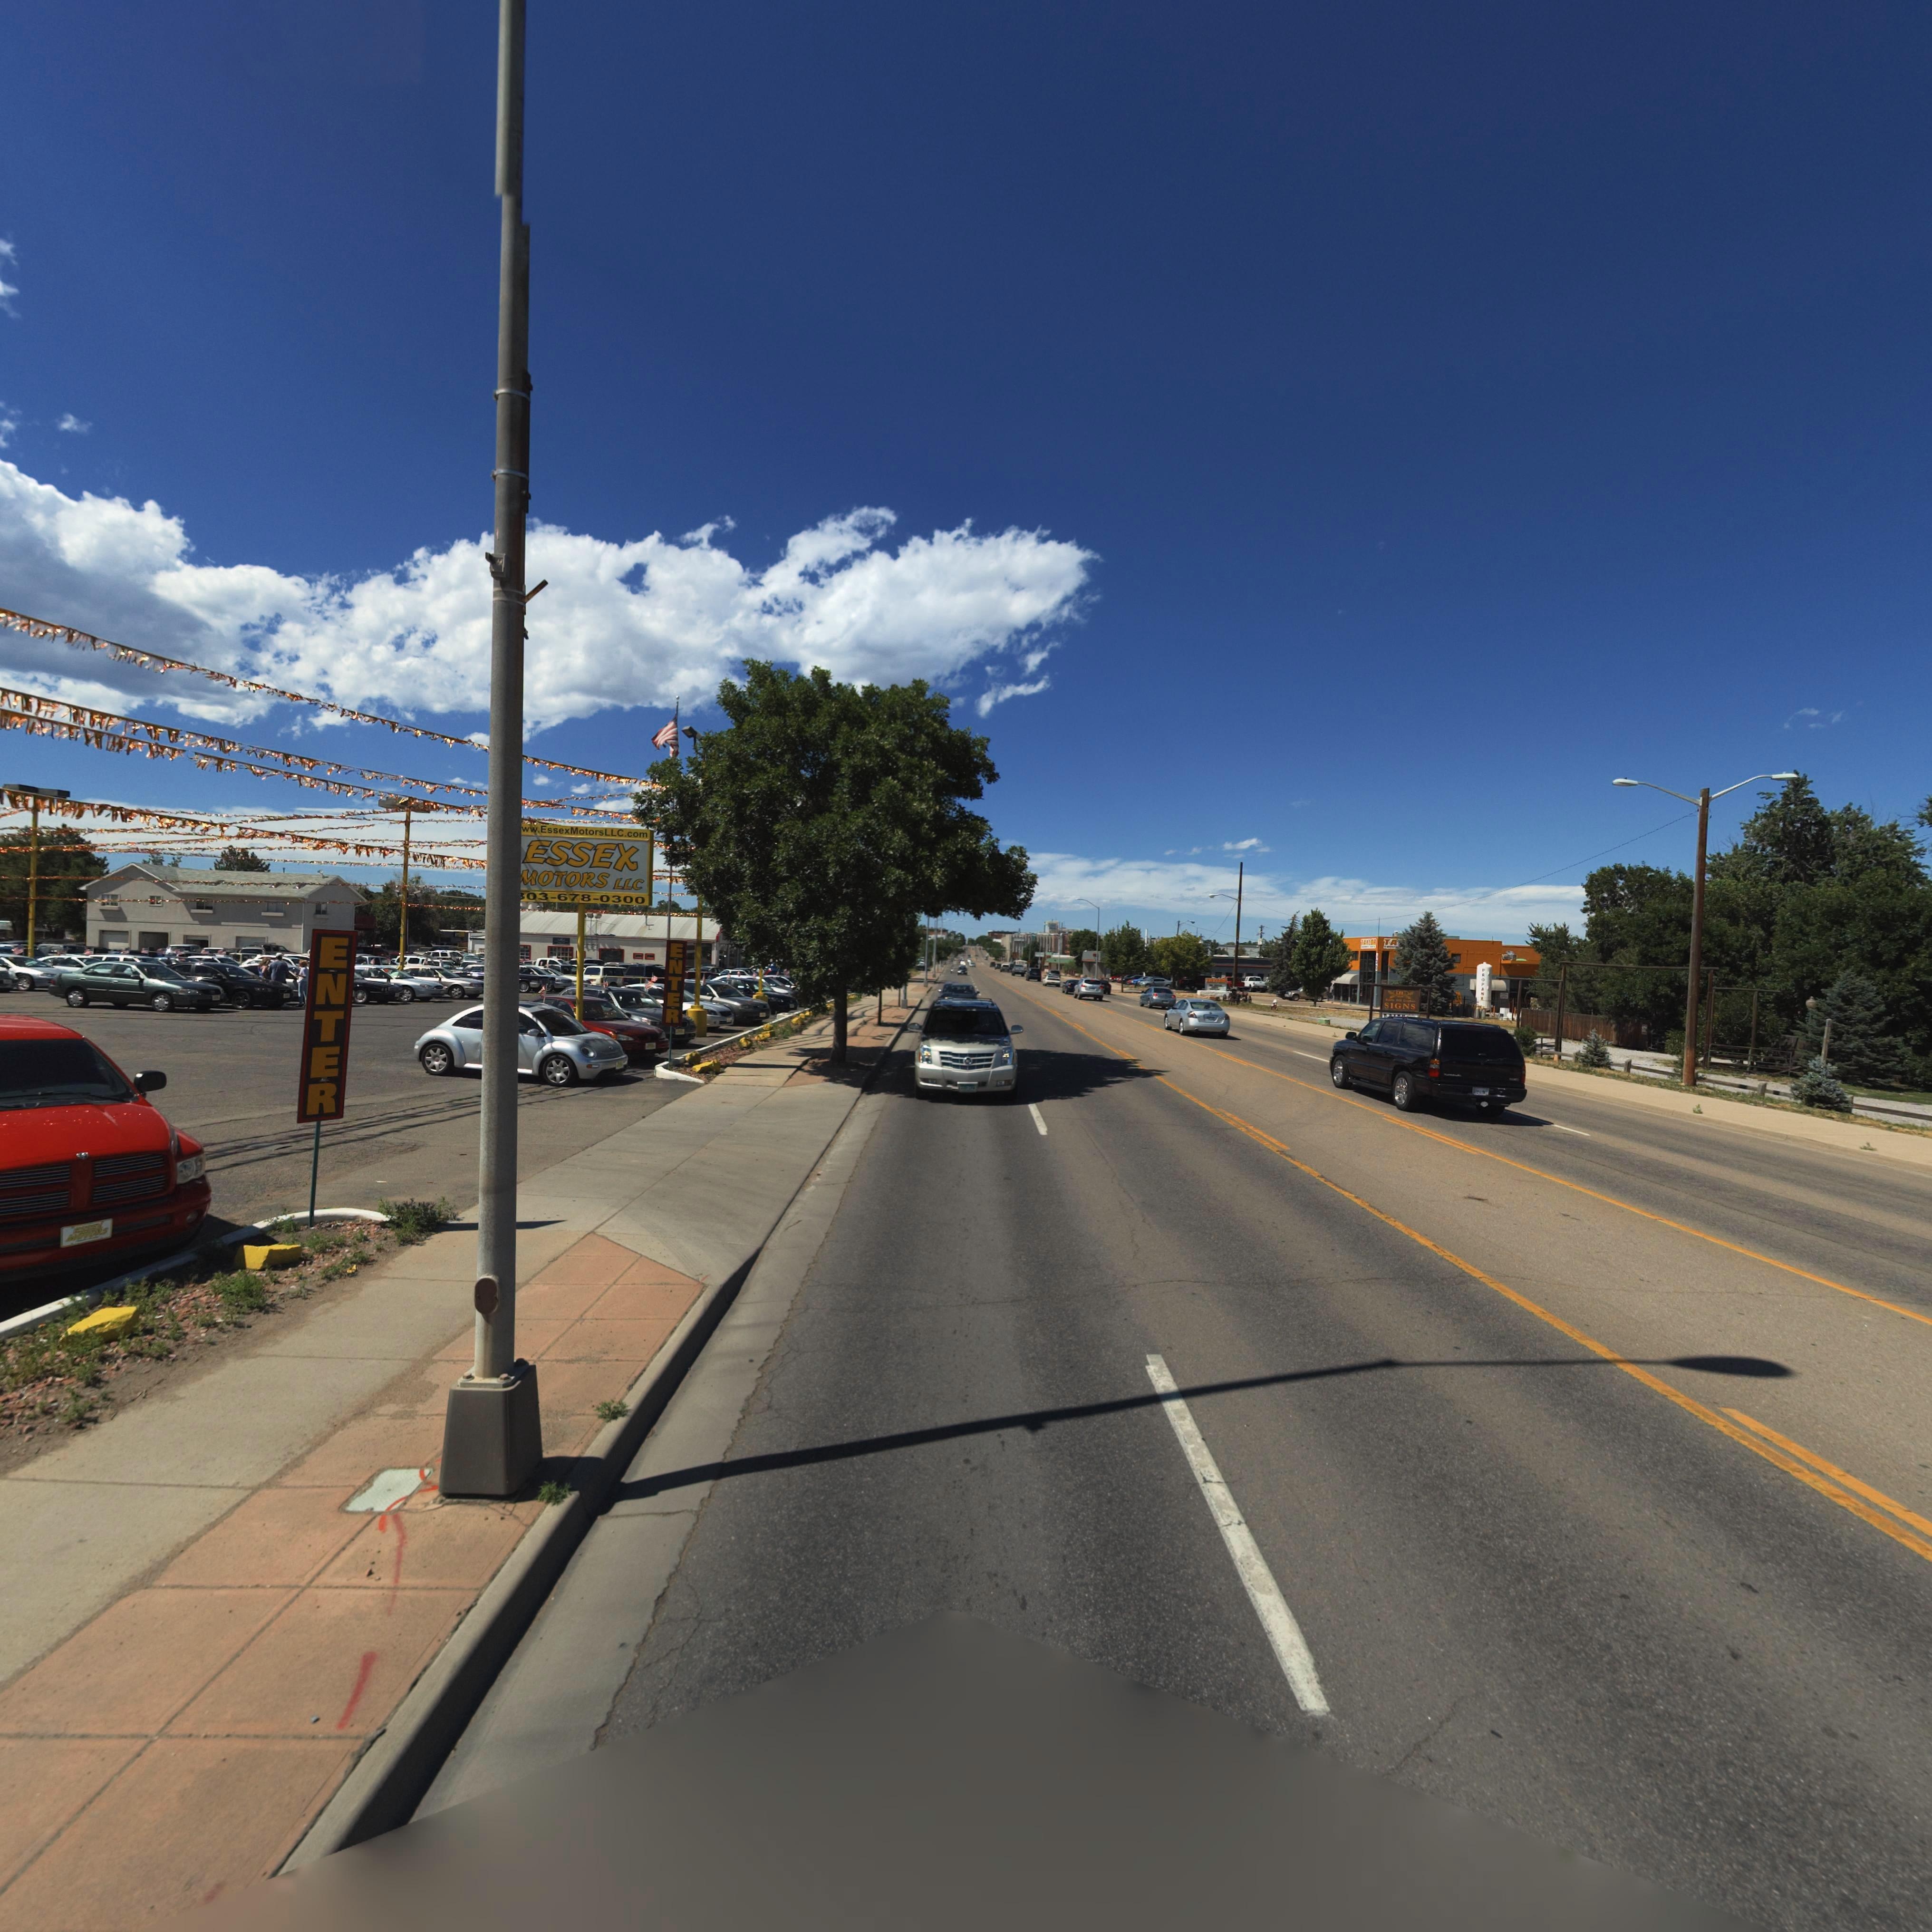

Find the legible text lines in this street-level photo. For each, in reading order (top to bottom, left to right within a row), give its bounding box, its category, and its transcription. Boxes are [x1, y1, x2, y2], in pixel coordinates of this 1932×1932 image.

[522, 838, 640, 872] BusinessName: ESSEX
[536, 869, 610, 889] BusinessName: OTORS
[611, 876, 646, 891] BusinessName: LLC
[1360, 938, 1376, 945] BusinessName: TAYLOR
[1382, 938, 1398, 946] BusinessName: TA